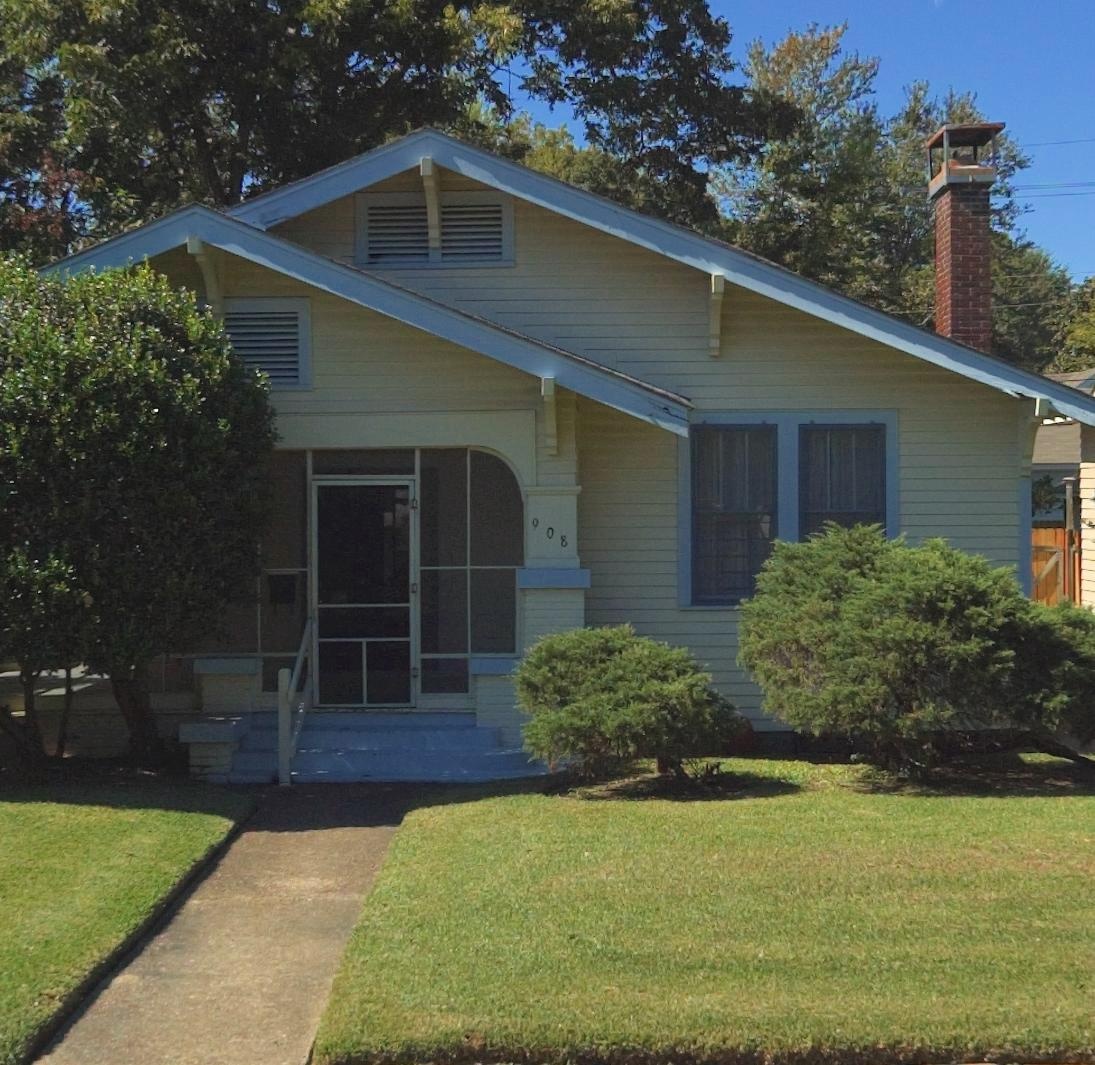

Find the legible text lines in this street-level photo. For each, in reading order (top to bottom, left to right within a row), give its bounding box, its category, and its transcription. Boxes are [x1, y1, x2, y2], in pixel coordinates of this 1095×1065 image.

[529, 515, 571, 550] StreetNumber: 908